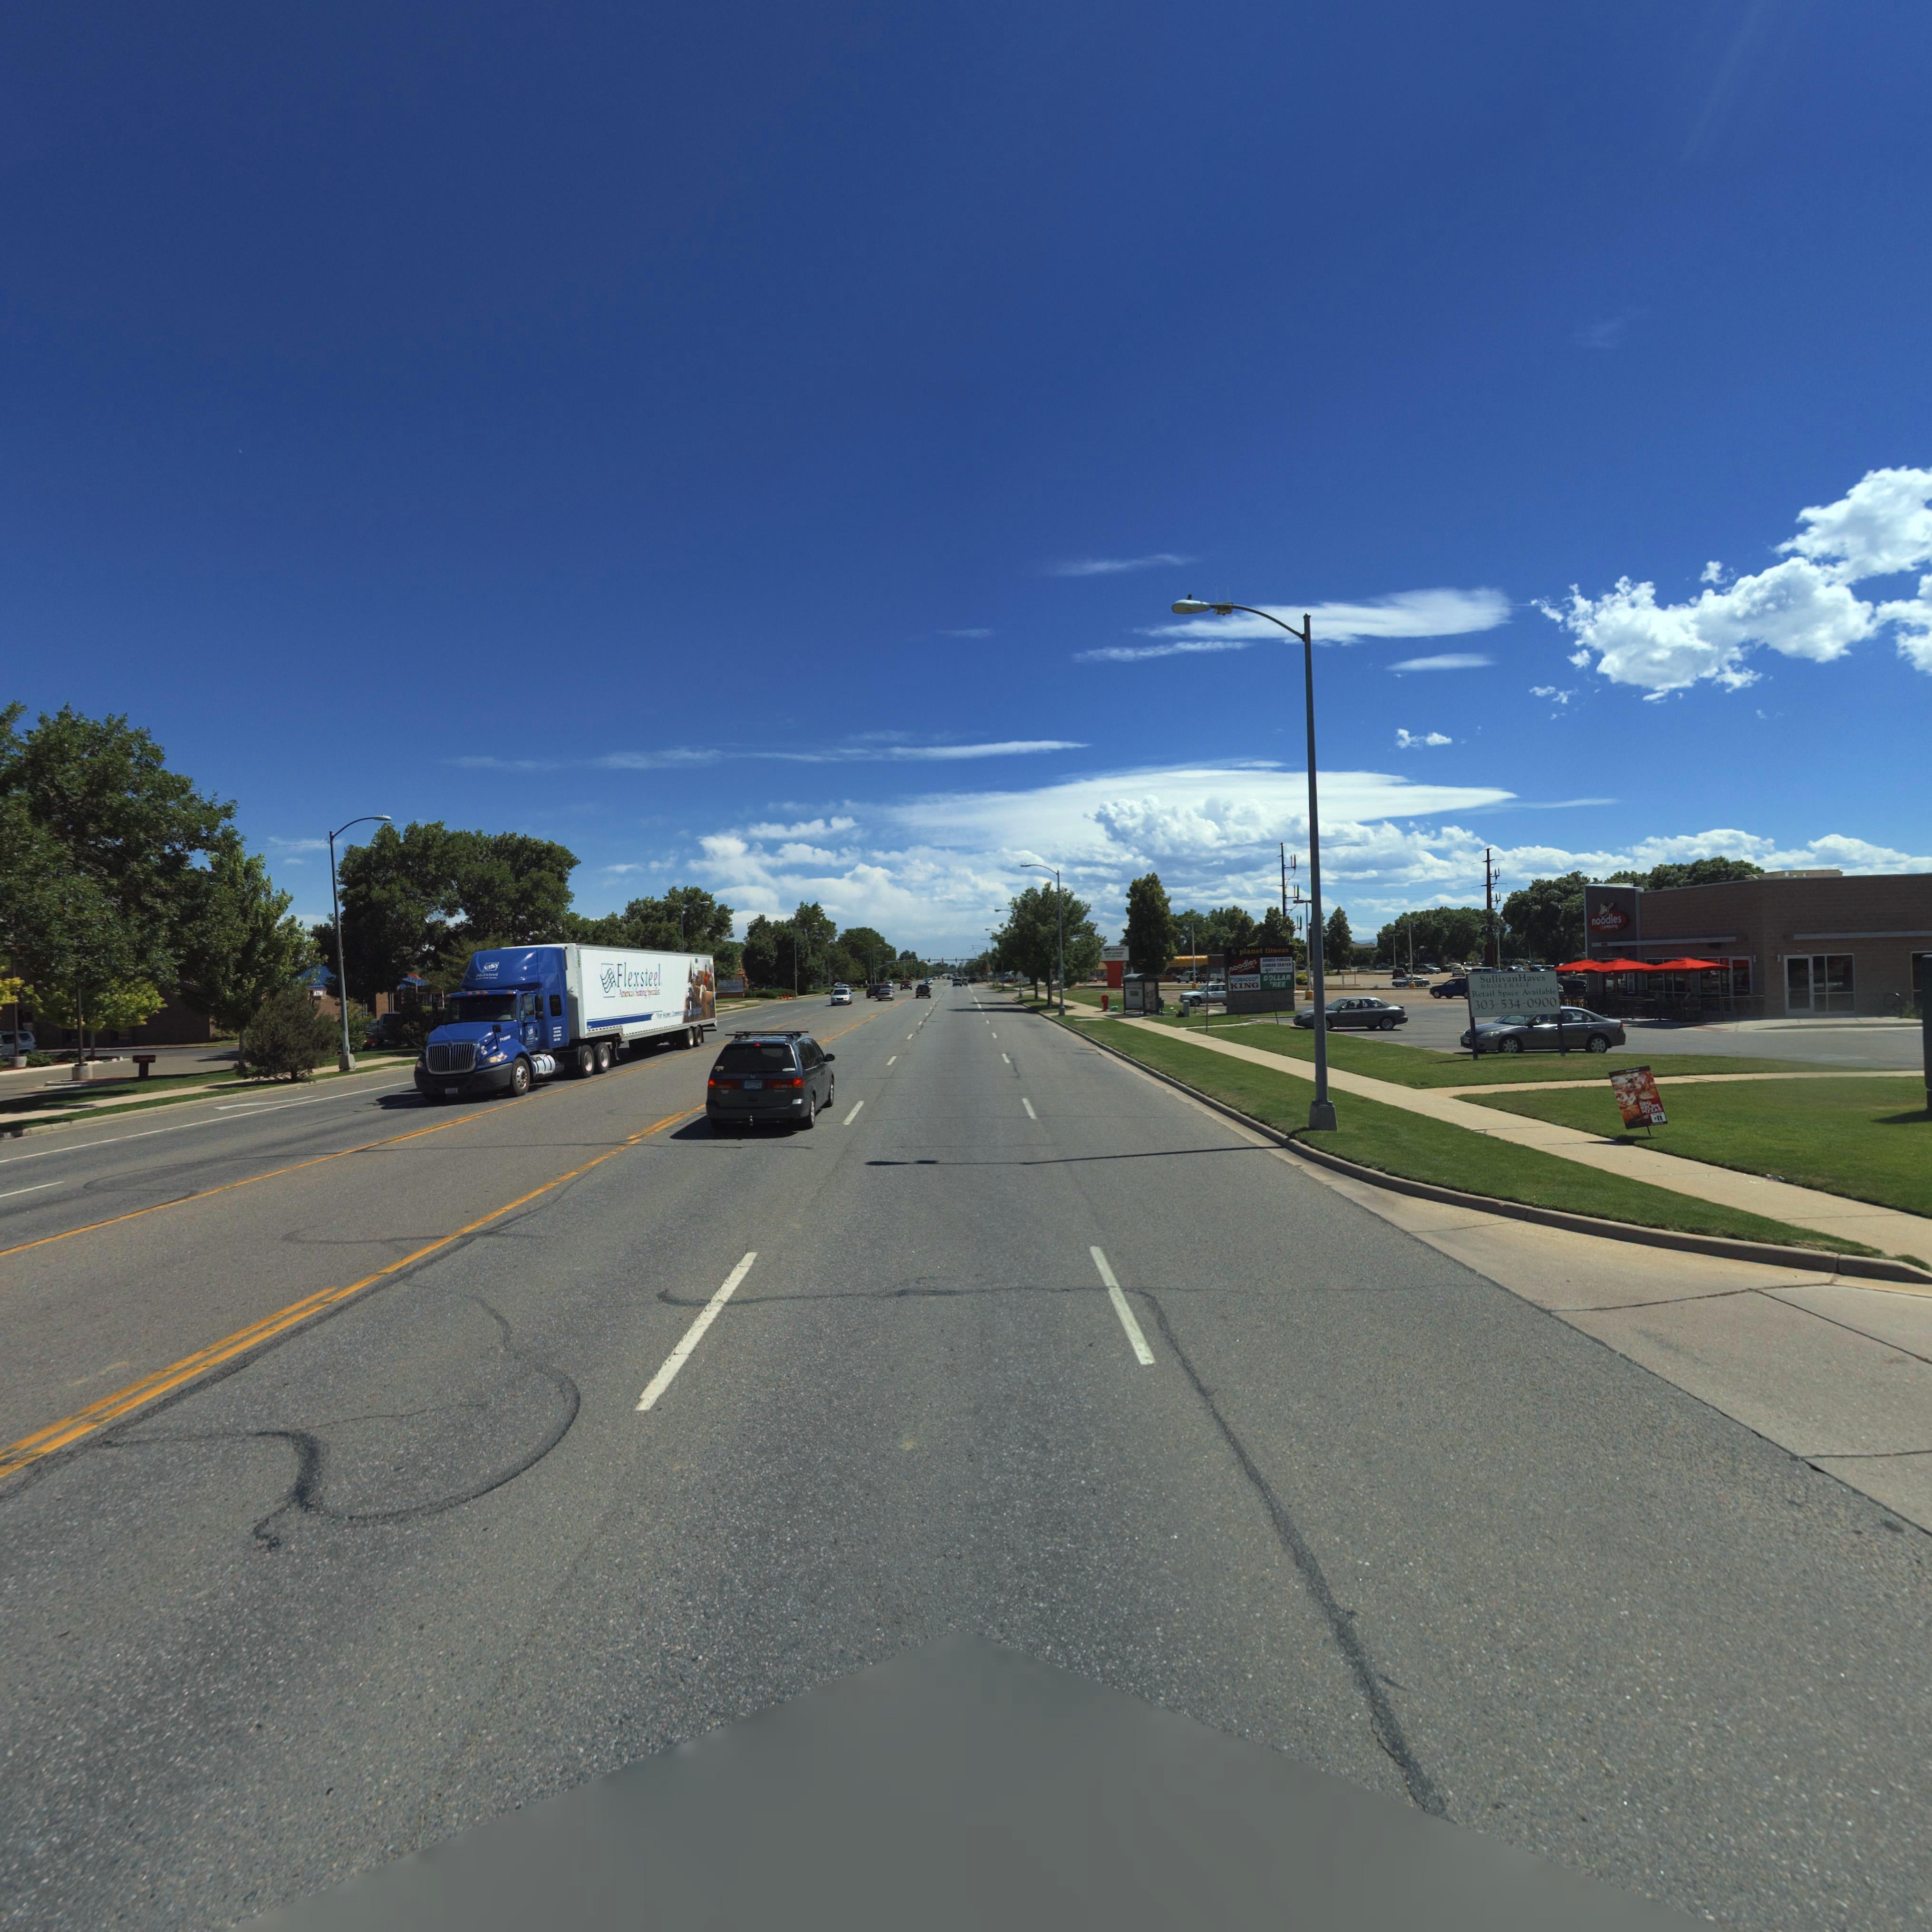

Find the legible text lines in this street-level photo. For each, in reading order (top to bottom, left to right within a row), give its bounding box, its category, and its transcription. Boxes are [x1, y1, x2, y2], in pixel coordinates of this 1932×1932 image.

[1591, 913, 1622, 926] BusinessName: noodles
[1239, 947, 1289, 956] BusinessName: planet fitness
[1262, 957, 1290, 962] BusinessName: ***ED FO*CES
[1228, 958, 1257, 972] BusinessName: noodles
[1262, 963, 1291, 967] BusinessName: C***** C*****
[1233, 976, 1256, 982] BusinessName: TOBACCO
[1263, 974, 1291, 981] BusinessName: DOLLAR
[1230, 982, 1259, 989] BusinessName: KING
[1268, 981, 1286, 987] BusinessName: *REE